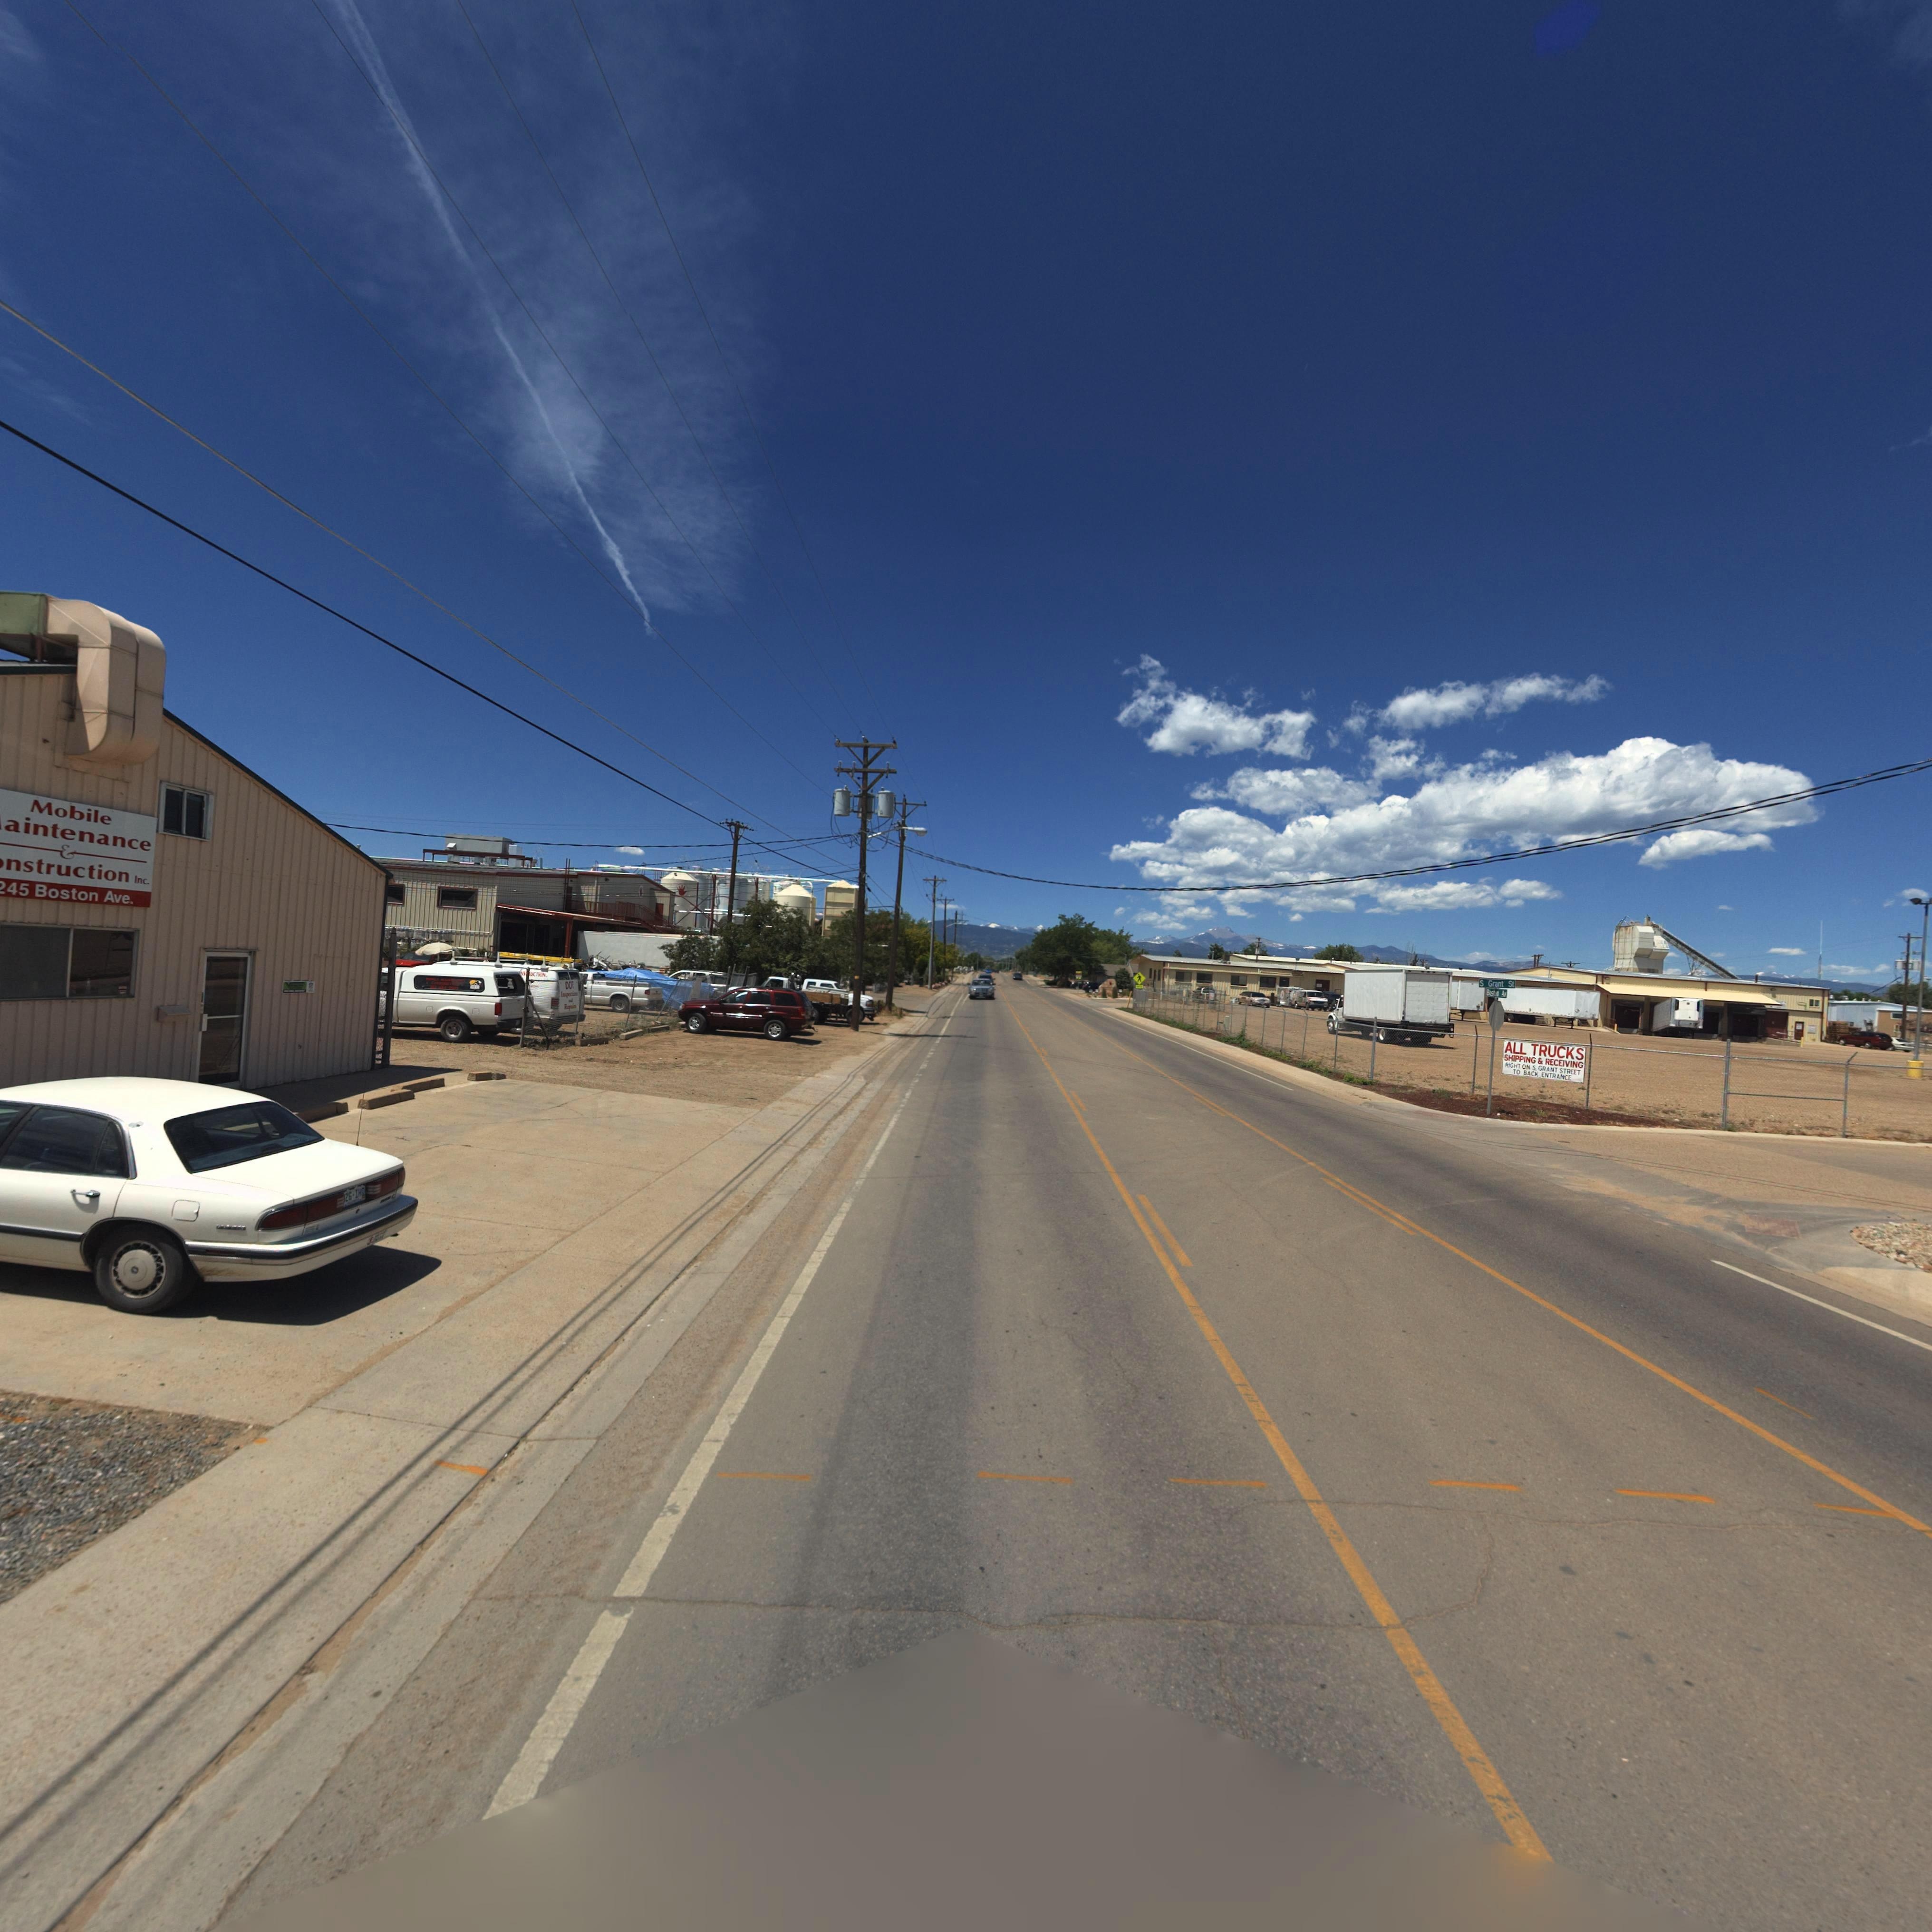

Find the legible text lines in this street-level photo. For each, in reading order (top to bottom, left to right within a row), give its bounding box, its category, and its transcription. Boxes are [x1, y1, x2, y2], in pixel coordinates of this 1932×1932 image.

[29, 798, 113, 825] BusinessName: Mobile
[2, 815, 152, 852] BusinessName: aintenance
[4, 858, 150, 885] BusinessName: nstruction Inc.
[6, 881, 29, 897] StreetNumber: 45
[34, 883, 133, 905] StreetName: Boston Ave.
[564, 980, 574, 989] BusinessName: DOT
[1479, 979, 1515, 987] StreetName: S Grant St
[560, 990, 579, 998] BusinessName: Inspectio**
[568, 997, 573, 1002] BusinessName: and
[1486, 988, 1506, 997] StreetName: Boston A*
[563, 1003, 577, 1011] StreetNumber: Repairs
[1531, 1064, 1581, 1075] StreetName: S. GRANT STREET